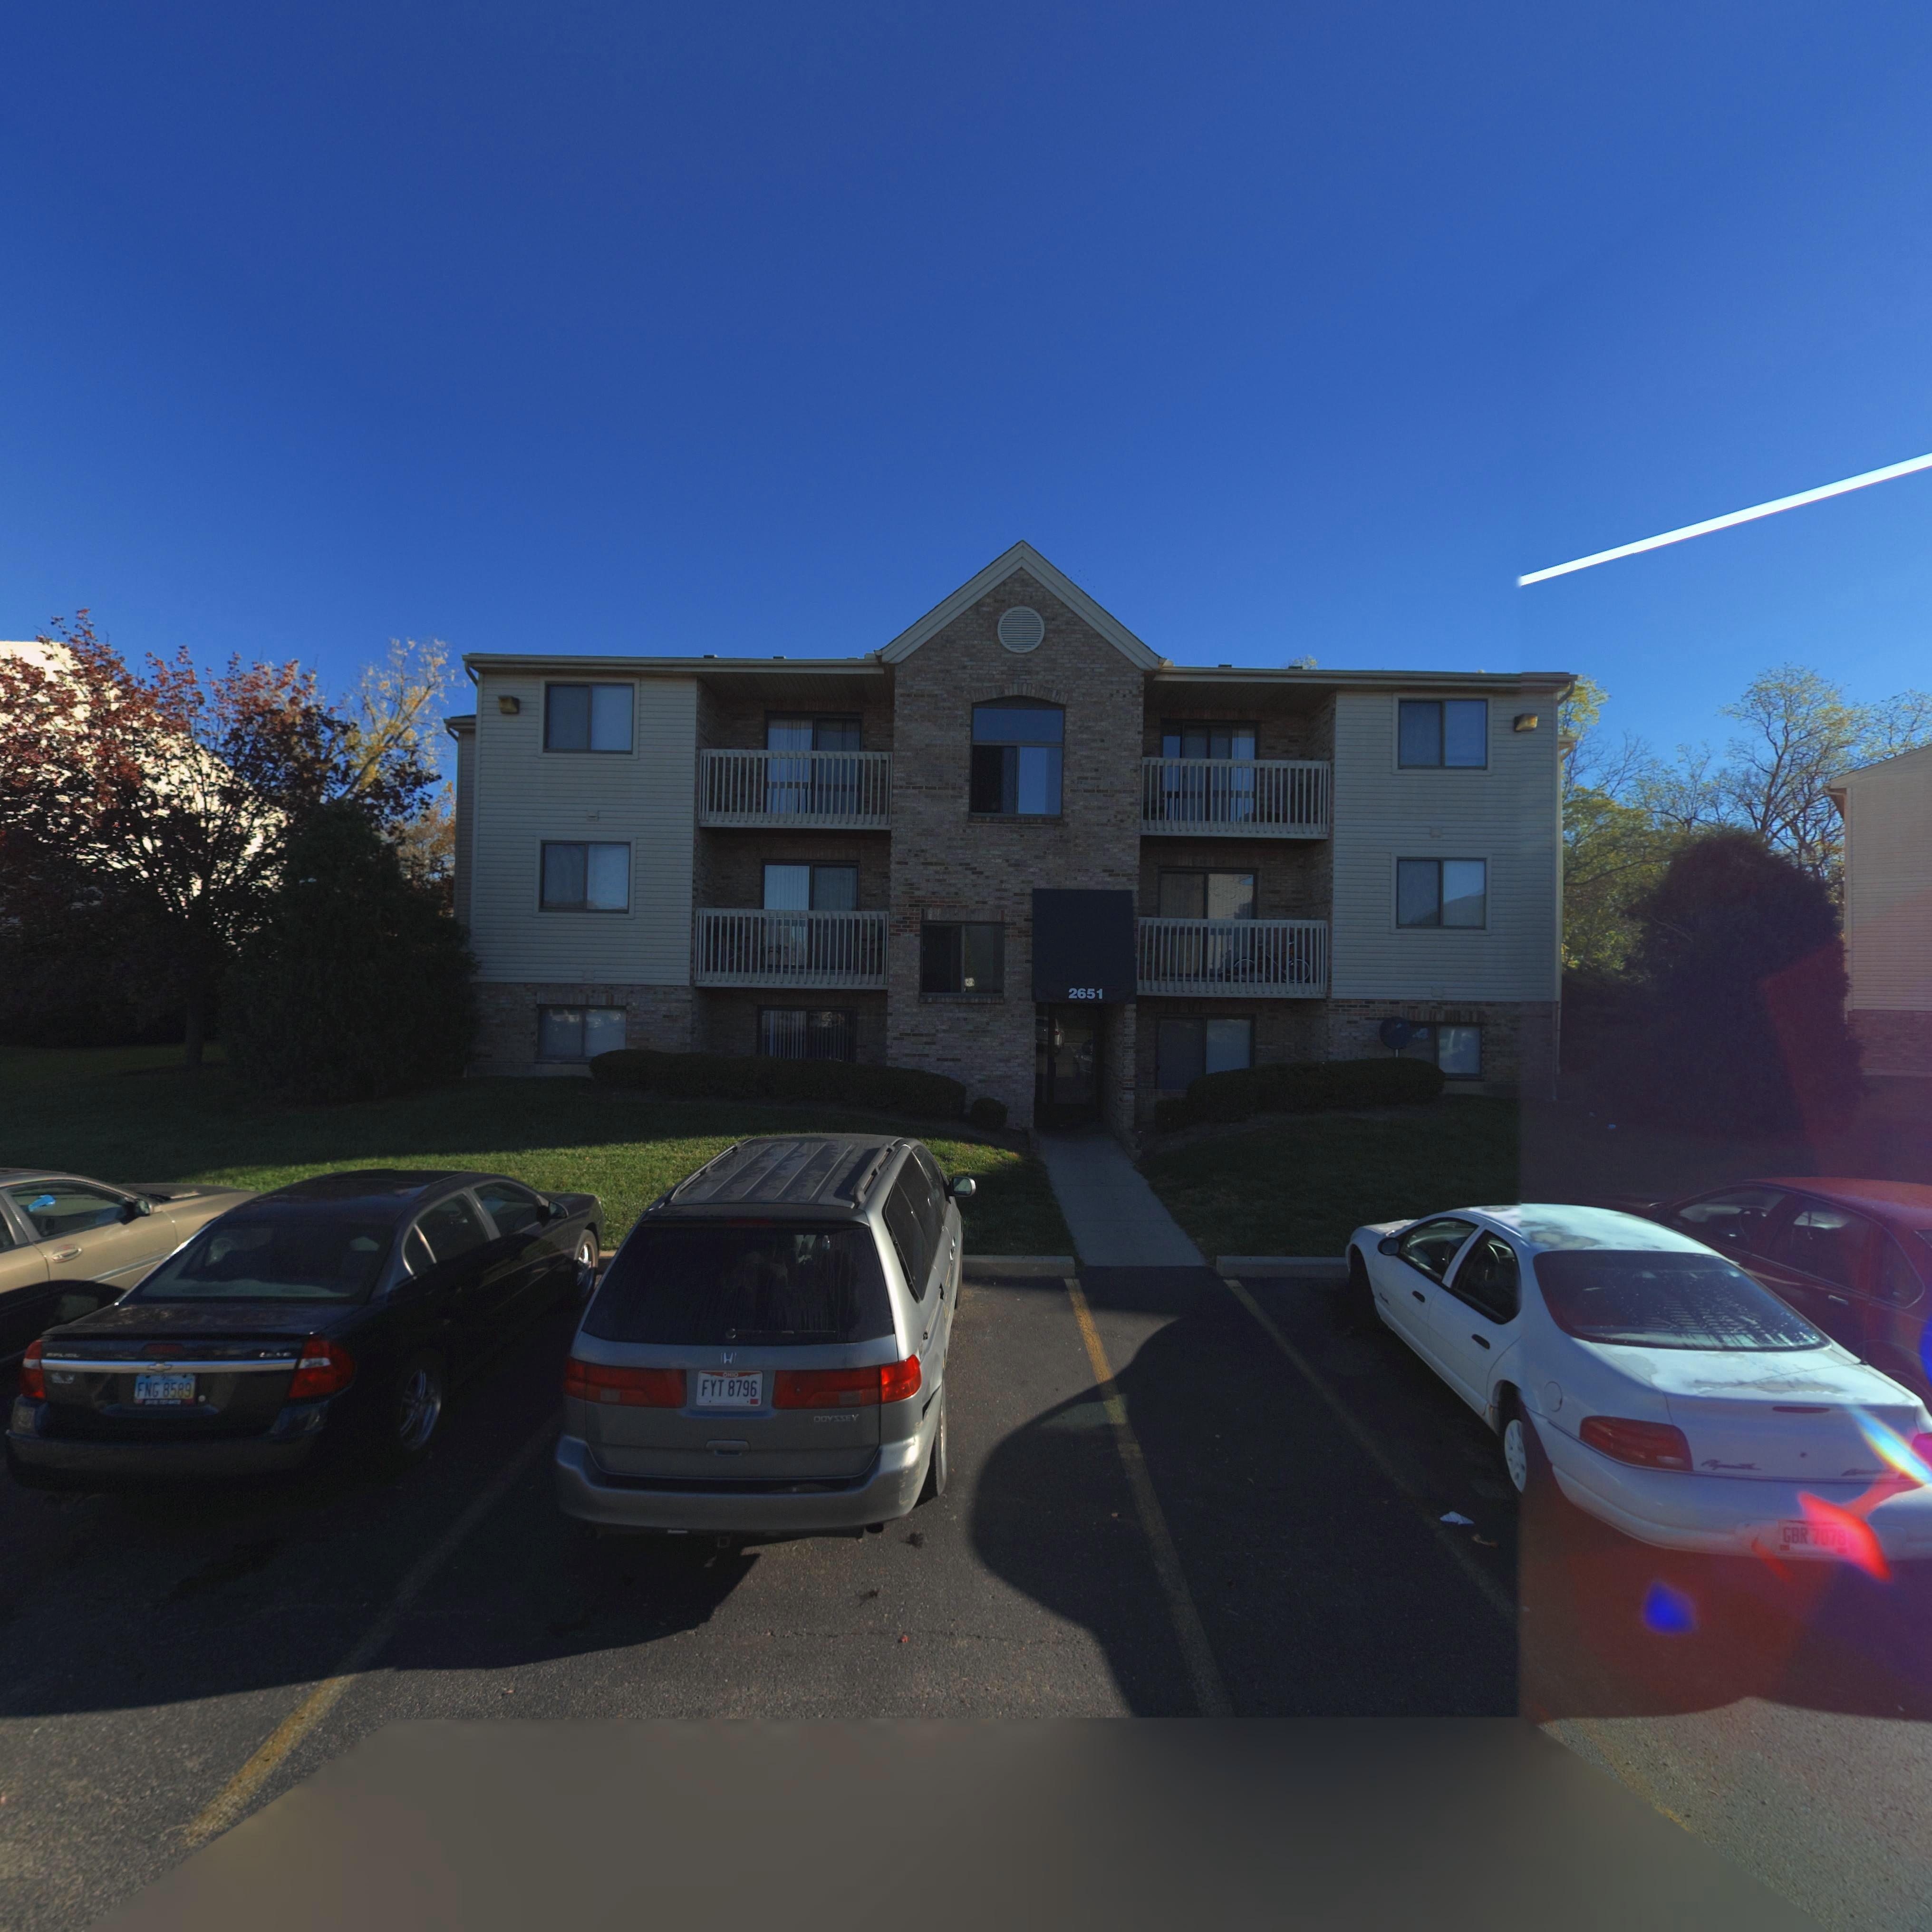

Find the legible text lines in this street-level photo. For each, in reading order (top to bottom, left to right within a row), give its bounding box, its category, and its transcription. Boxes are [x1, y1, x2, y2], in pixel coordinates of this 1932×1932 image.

[1067, 986, 1104, 1001] StreetNumber: 2651